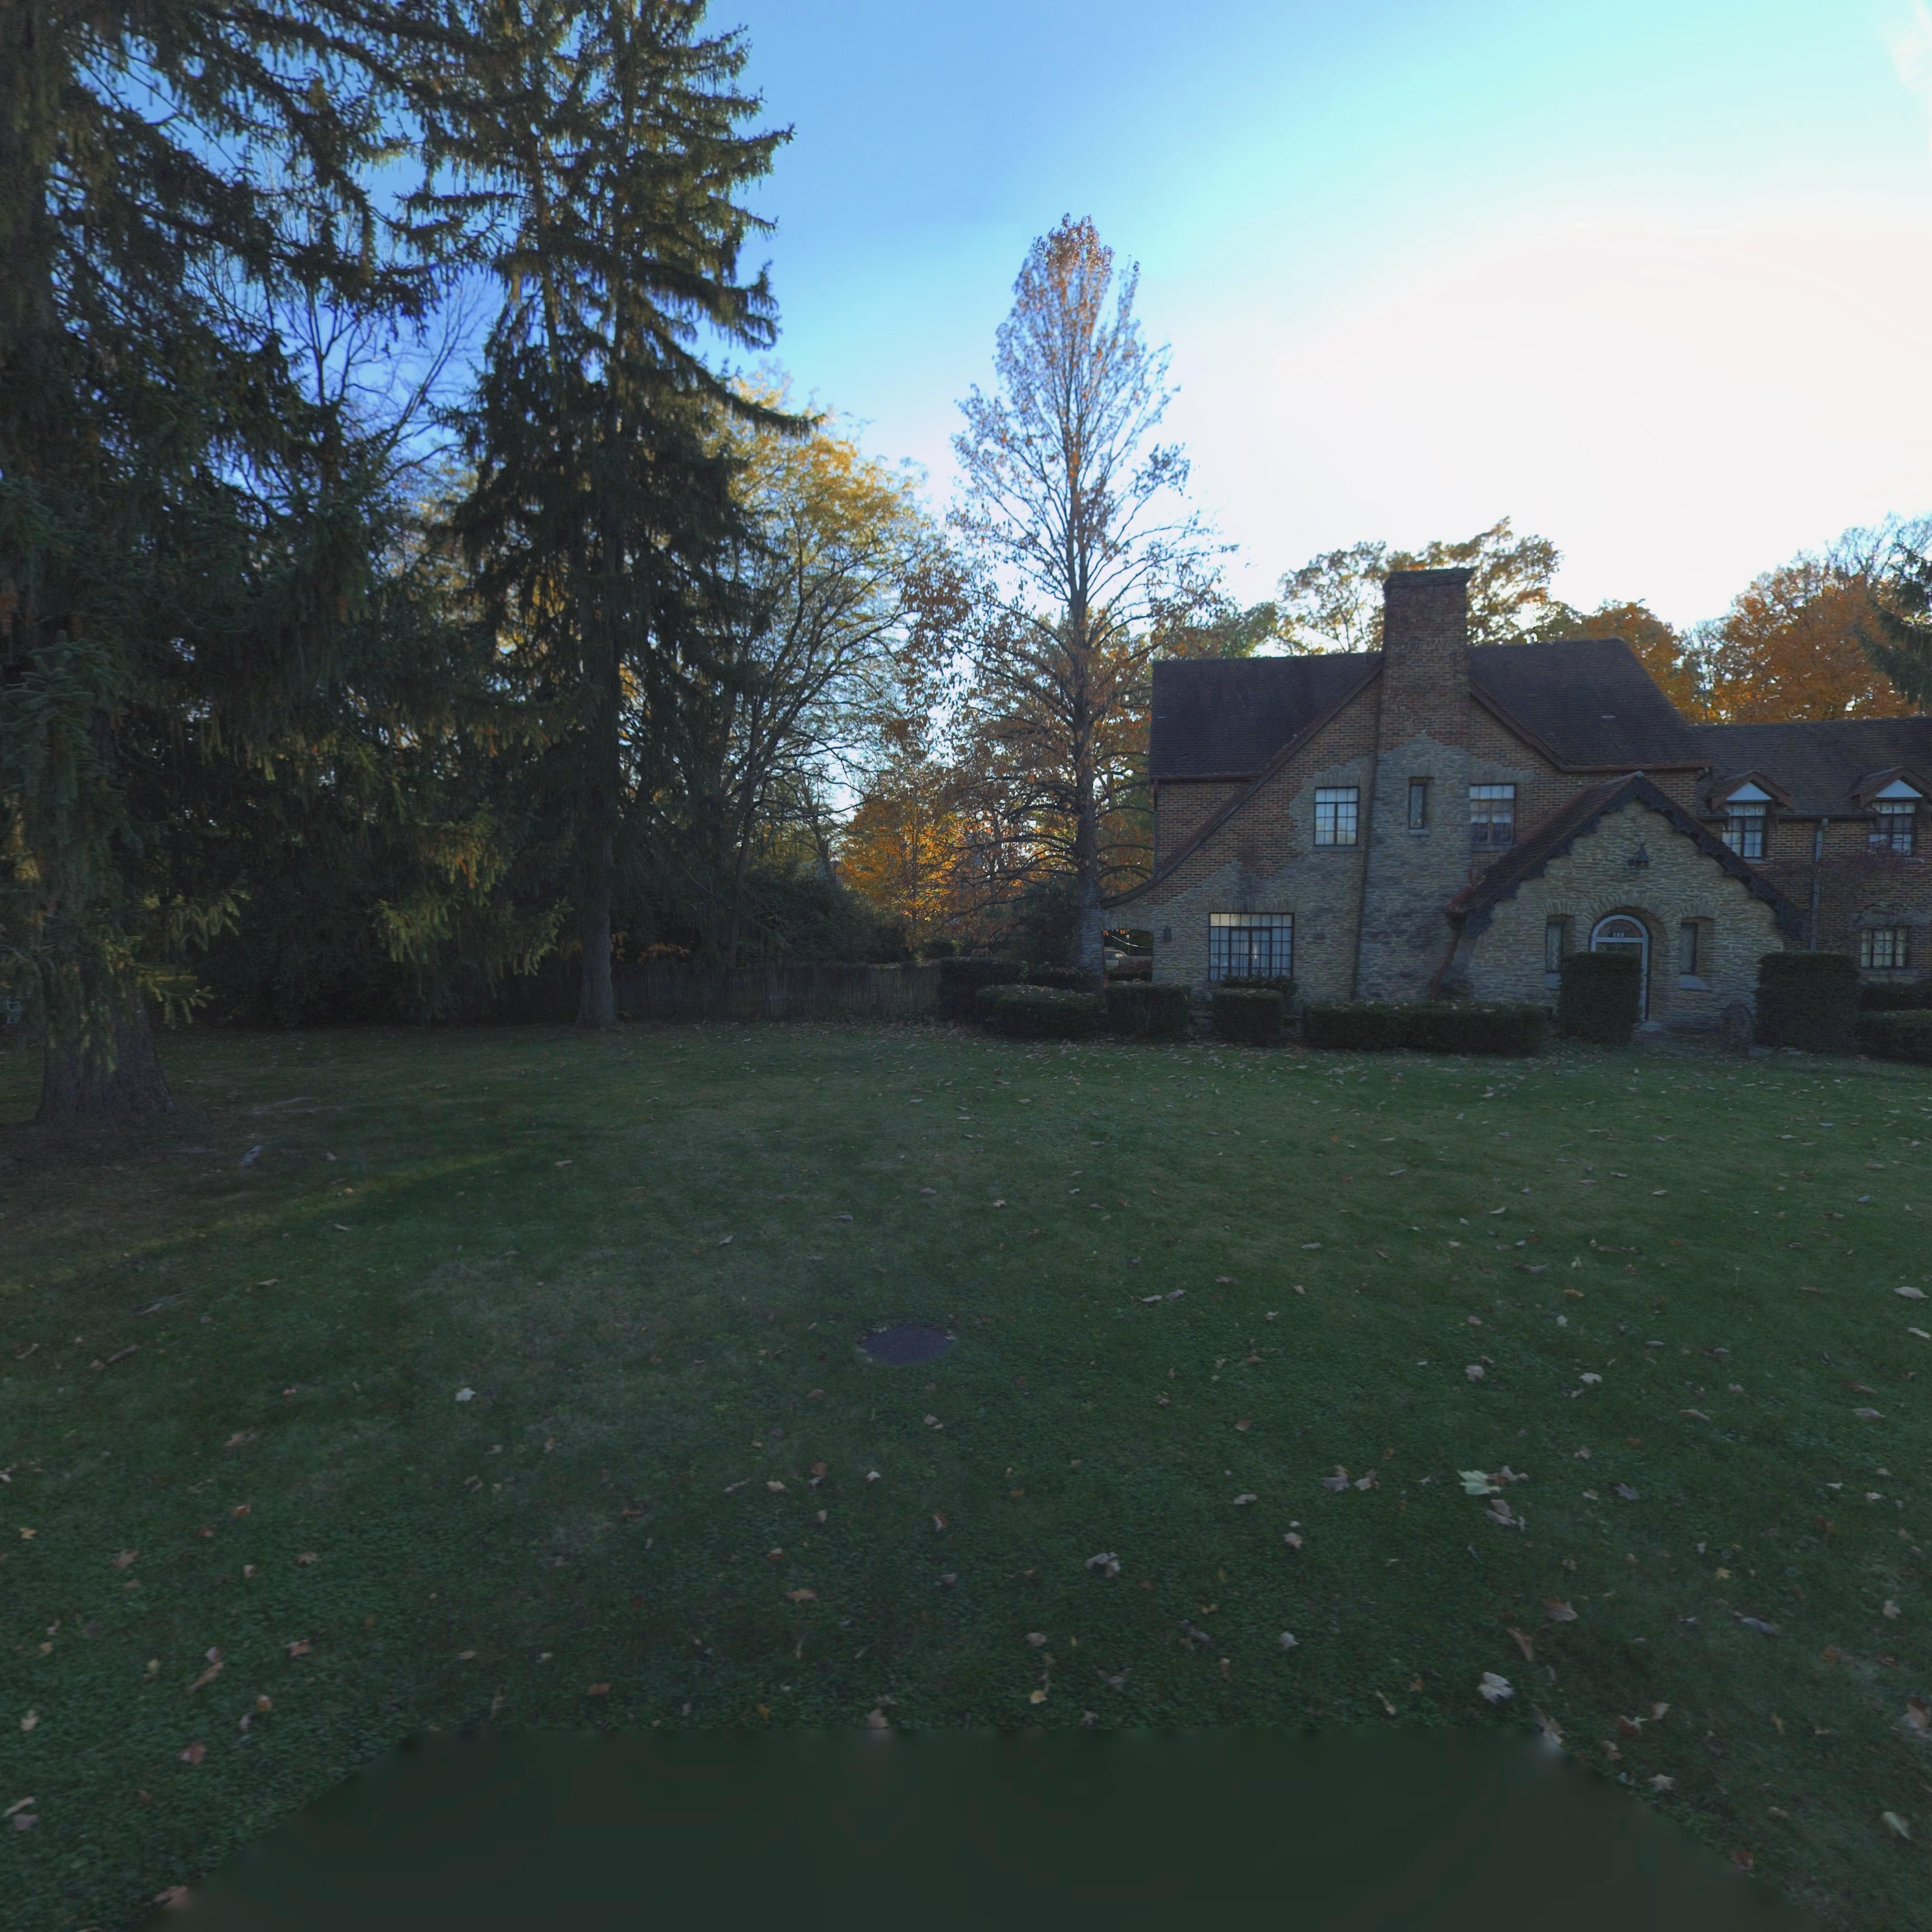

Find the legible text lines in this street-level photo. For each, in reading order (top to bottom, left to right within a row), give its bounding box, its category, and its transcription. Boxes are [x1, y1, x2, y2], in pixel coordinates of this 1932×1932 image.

[1612, 931, 1625, 938] StreetNumber: 500